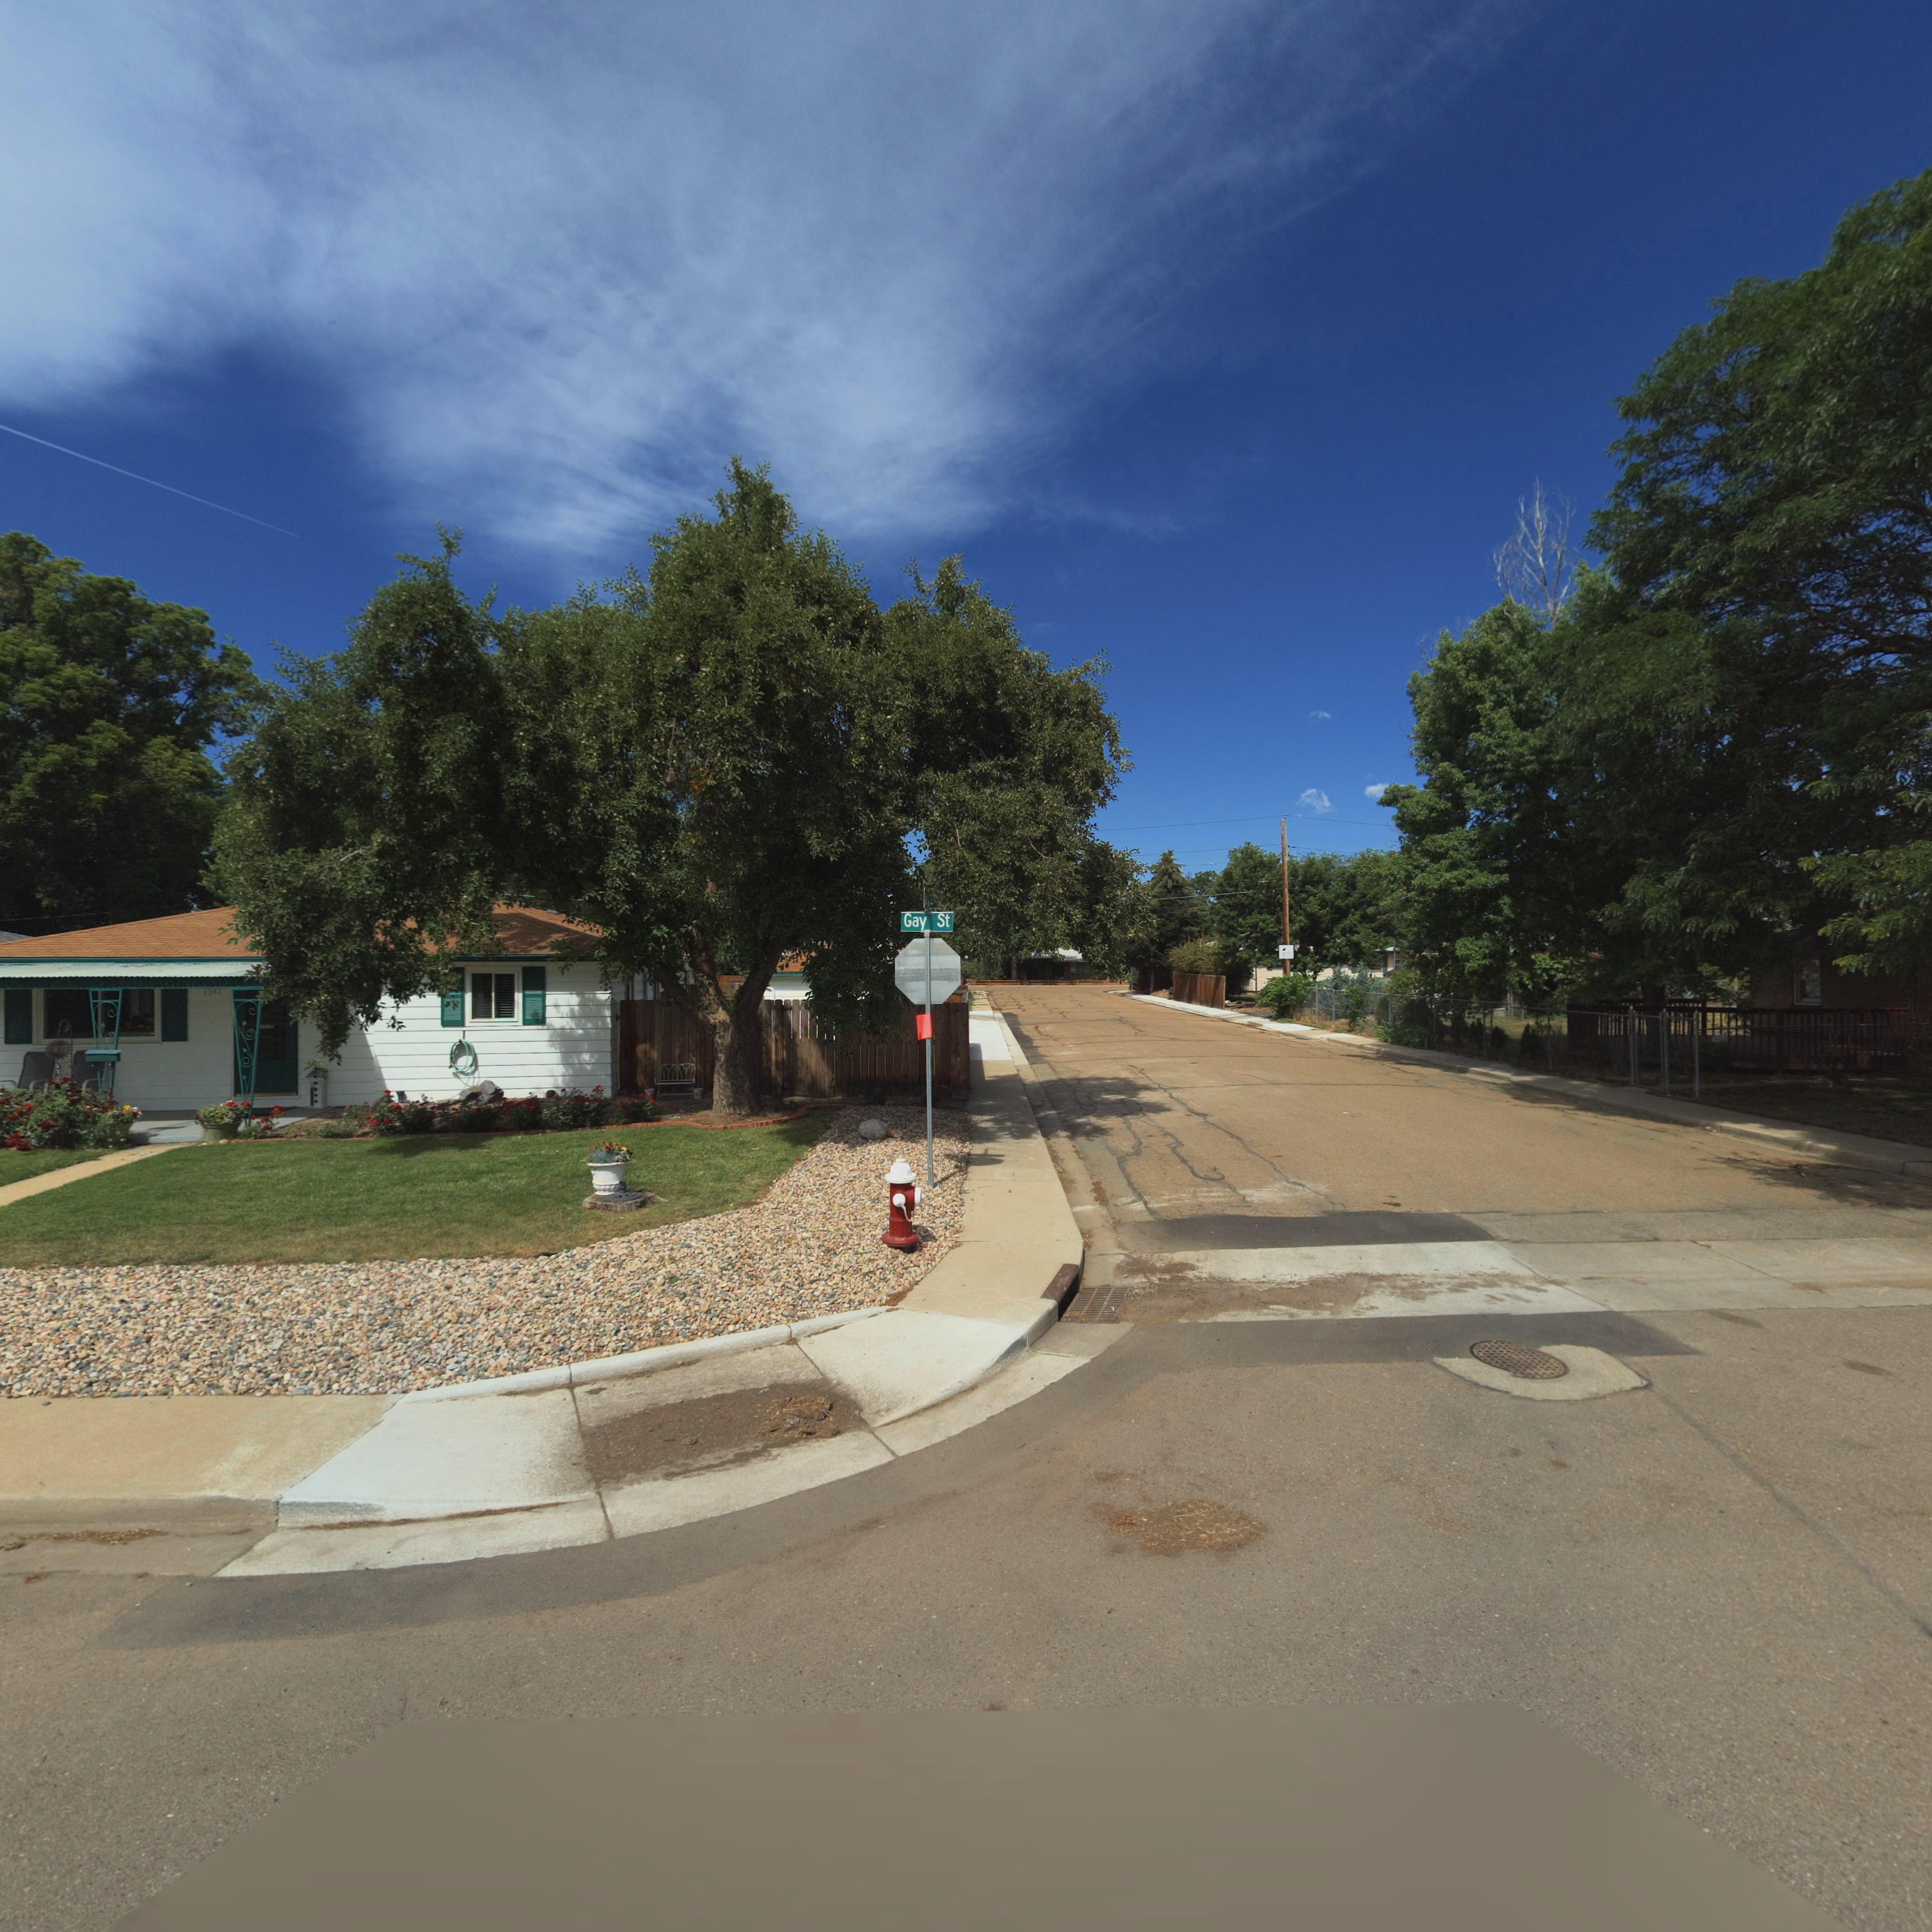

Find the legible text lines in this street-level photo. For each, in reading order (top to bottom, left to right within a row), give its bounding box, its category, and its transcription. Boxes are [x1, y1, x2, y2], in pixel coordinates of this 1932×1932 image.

[903, 913, 950, 931] StreetName: Gay St
[203, 988, 223, 995] StreetNumber: 1347